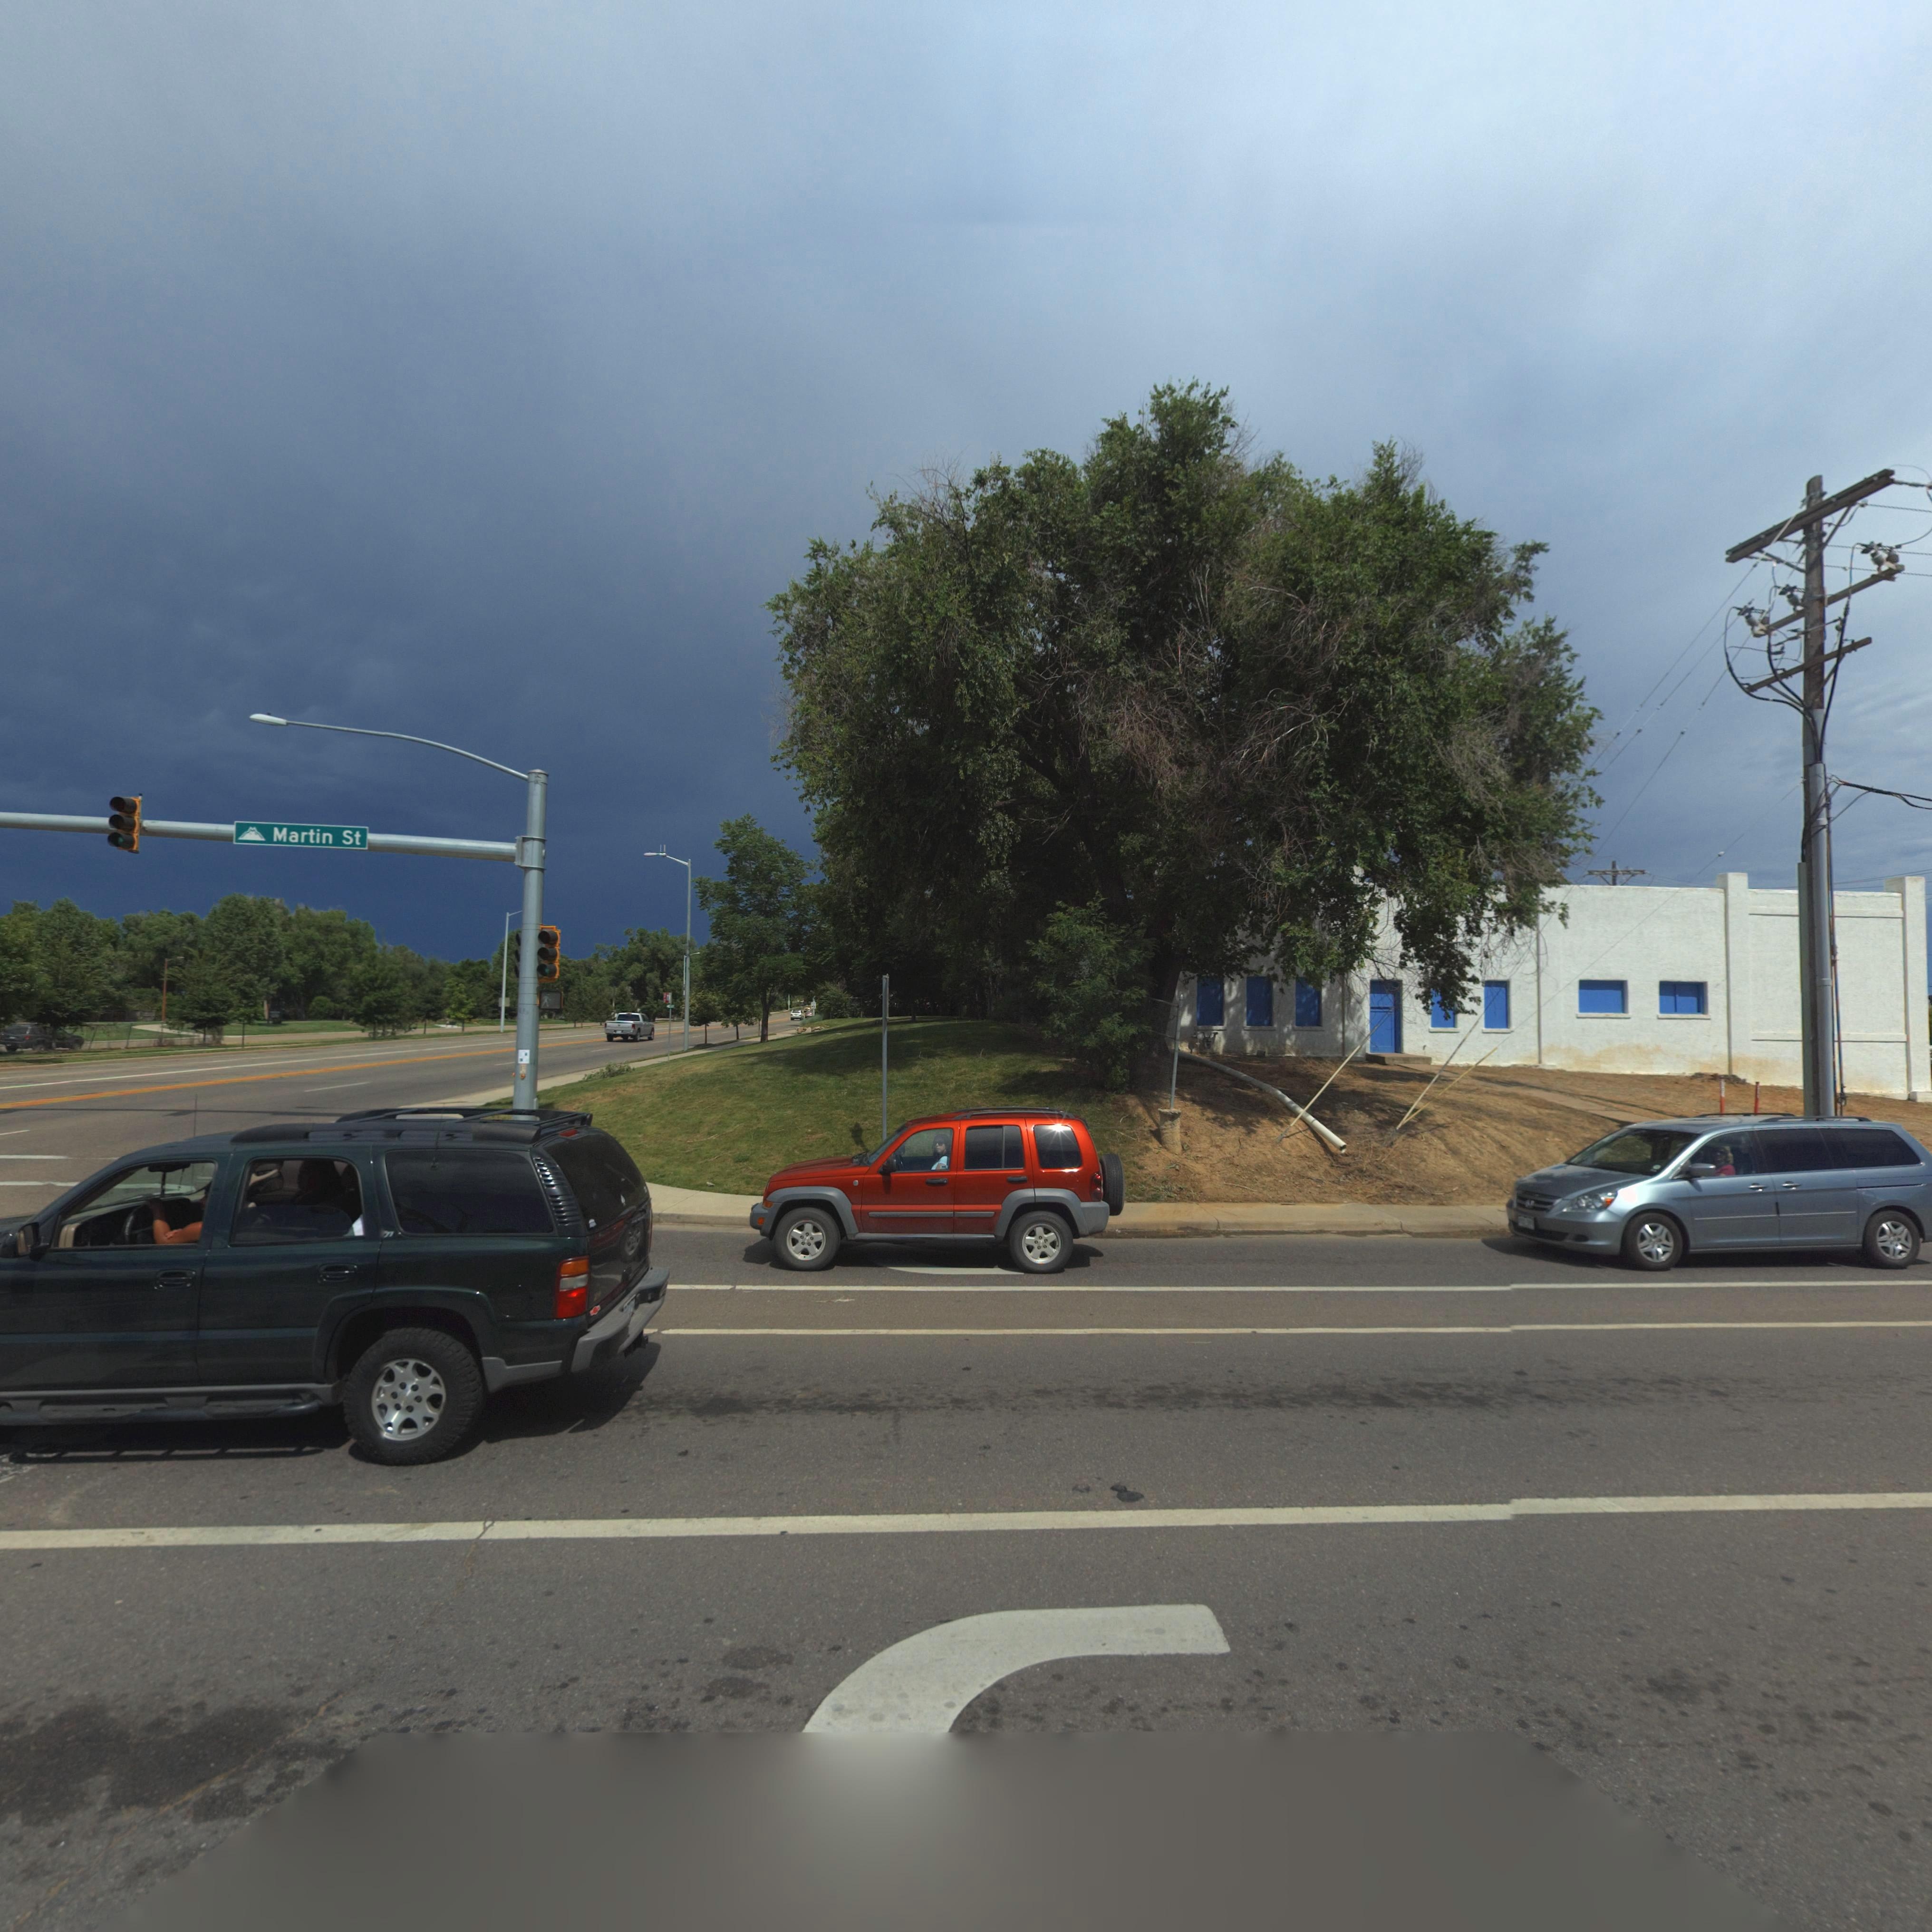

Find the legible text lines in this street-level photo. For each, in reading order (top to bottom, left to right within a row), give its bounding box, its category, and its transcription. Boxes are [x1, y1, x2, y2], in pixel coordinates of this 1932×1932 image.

[273, 826, 361, 845] StreetName: Martin St